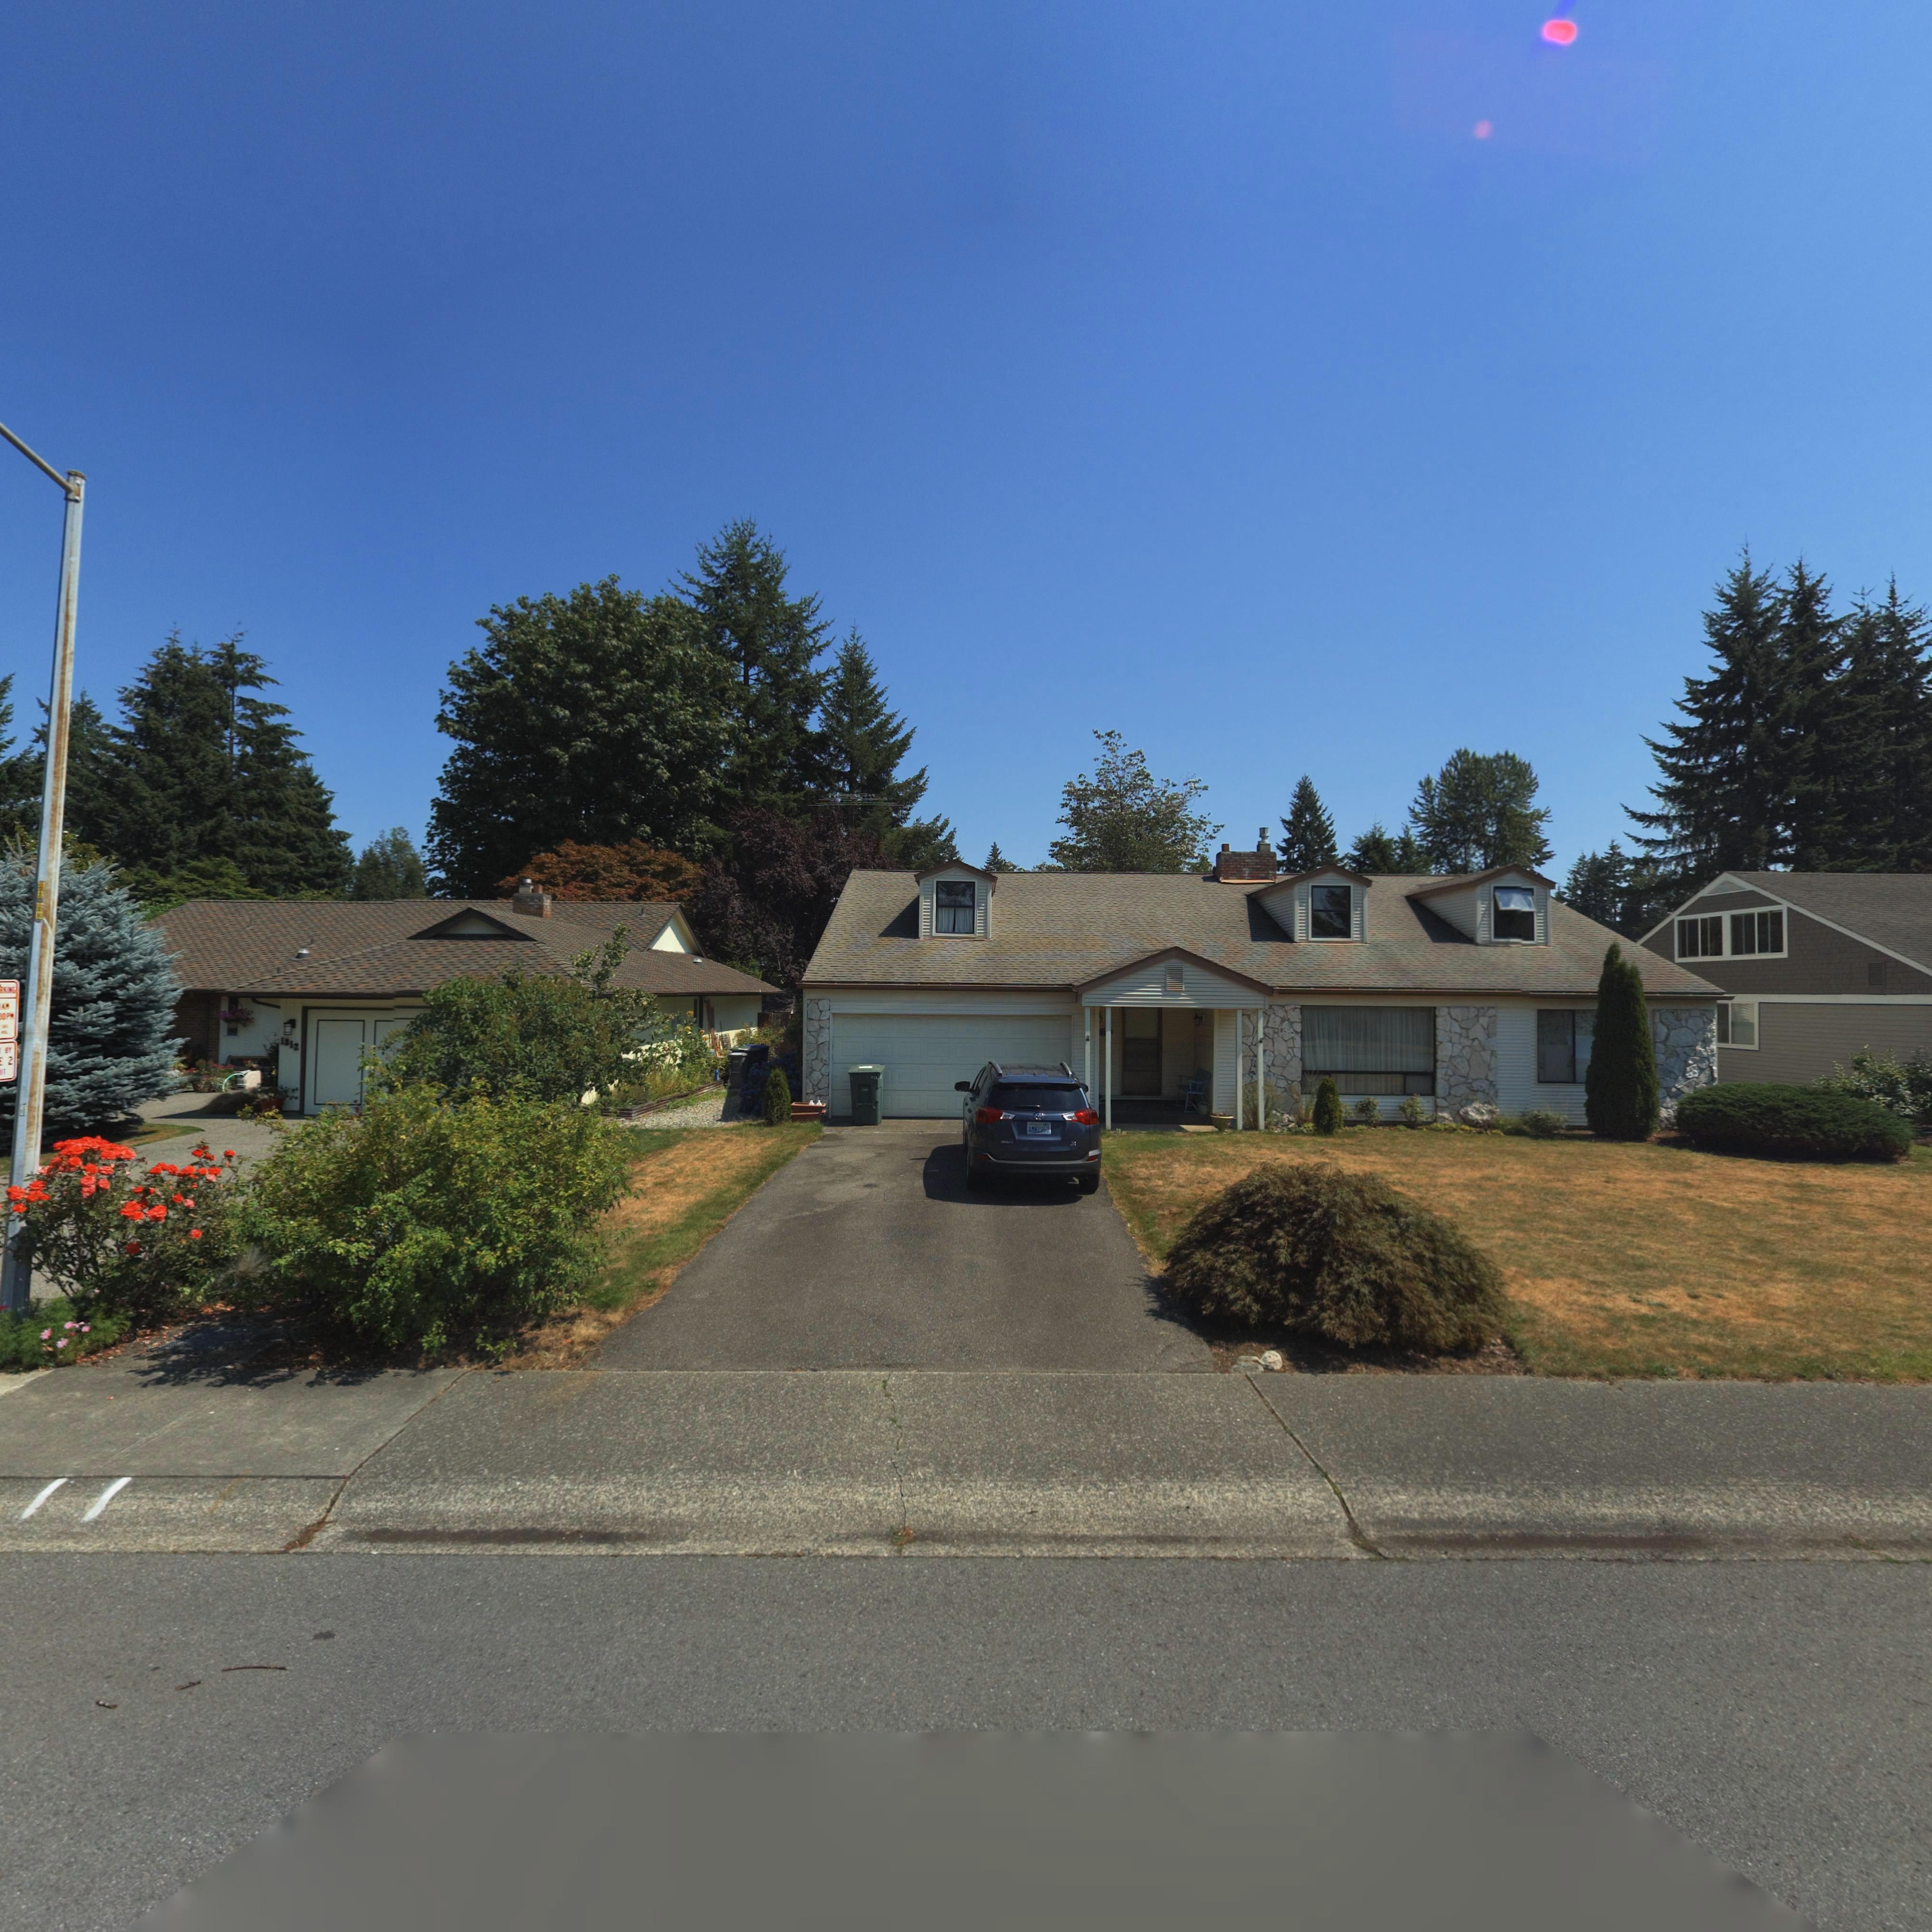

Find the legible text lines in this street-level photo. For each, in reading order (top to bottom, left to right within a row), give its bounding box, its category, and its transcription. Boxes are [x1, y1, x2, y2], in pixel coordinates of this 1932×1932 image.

[280, 1036, 300, 1052] StreetNumber: 1812